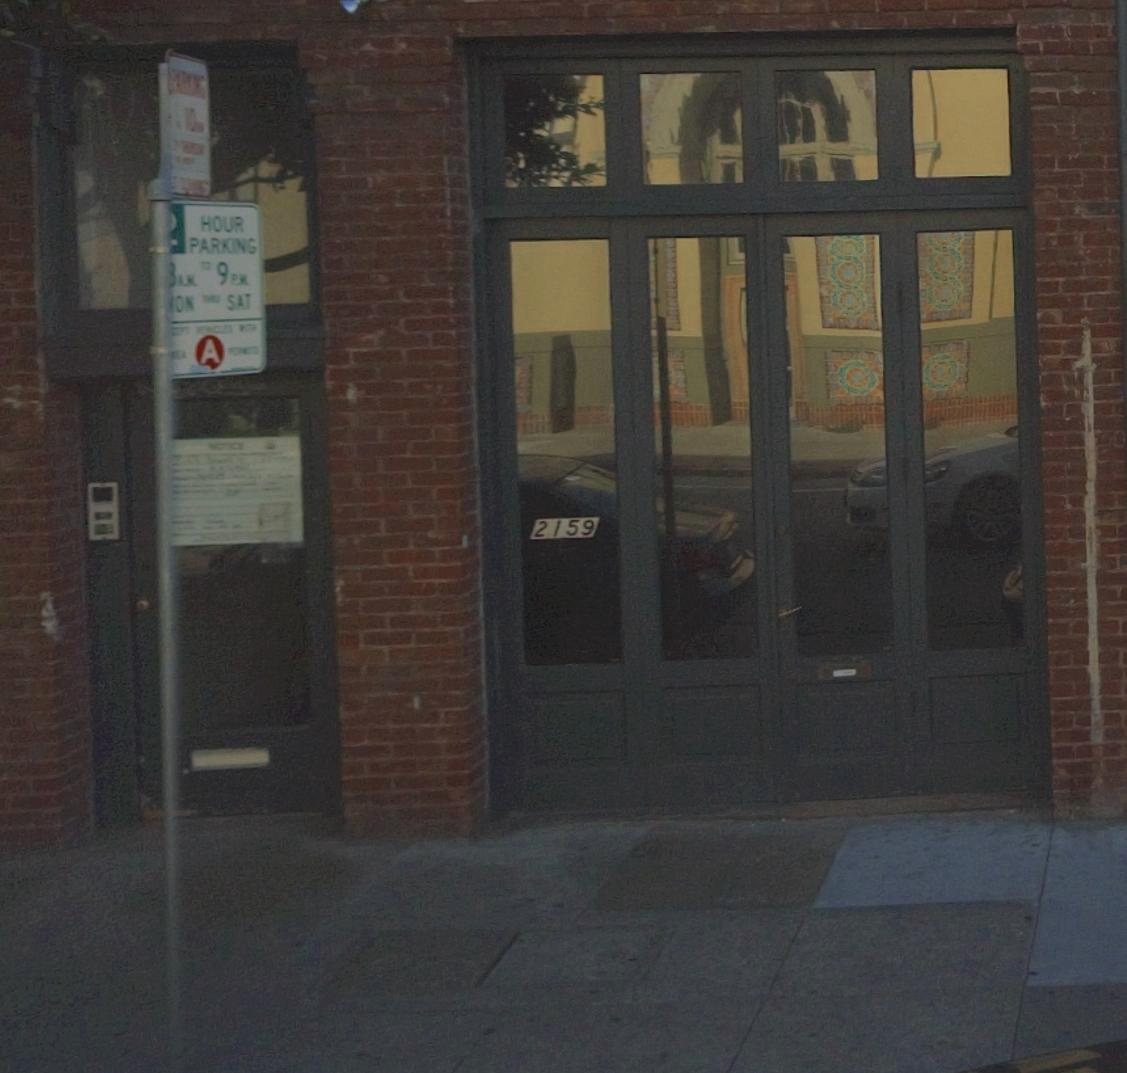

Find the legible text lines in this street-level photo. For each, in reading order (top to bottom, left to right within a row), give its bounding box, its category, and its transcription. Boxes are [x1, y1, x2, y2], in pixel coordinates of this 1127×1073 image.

[183, 103, 200, 135] None: 10
[197, 212, 244, 234] None: HOUR
[187, 234, 257, 256] None: PARKING
[175, 270, 197, 288] None: AM
[214, 259, 248, 286] None: 9PM
[174, 292, 253, 314] None: ON * SAT
[197, 338, 224, 366] None: A
[534, 519, 595, 538] StreetNumber: 2159